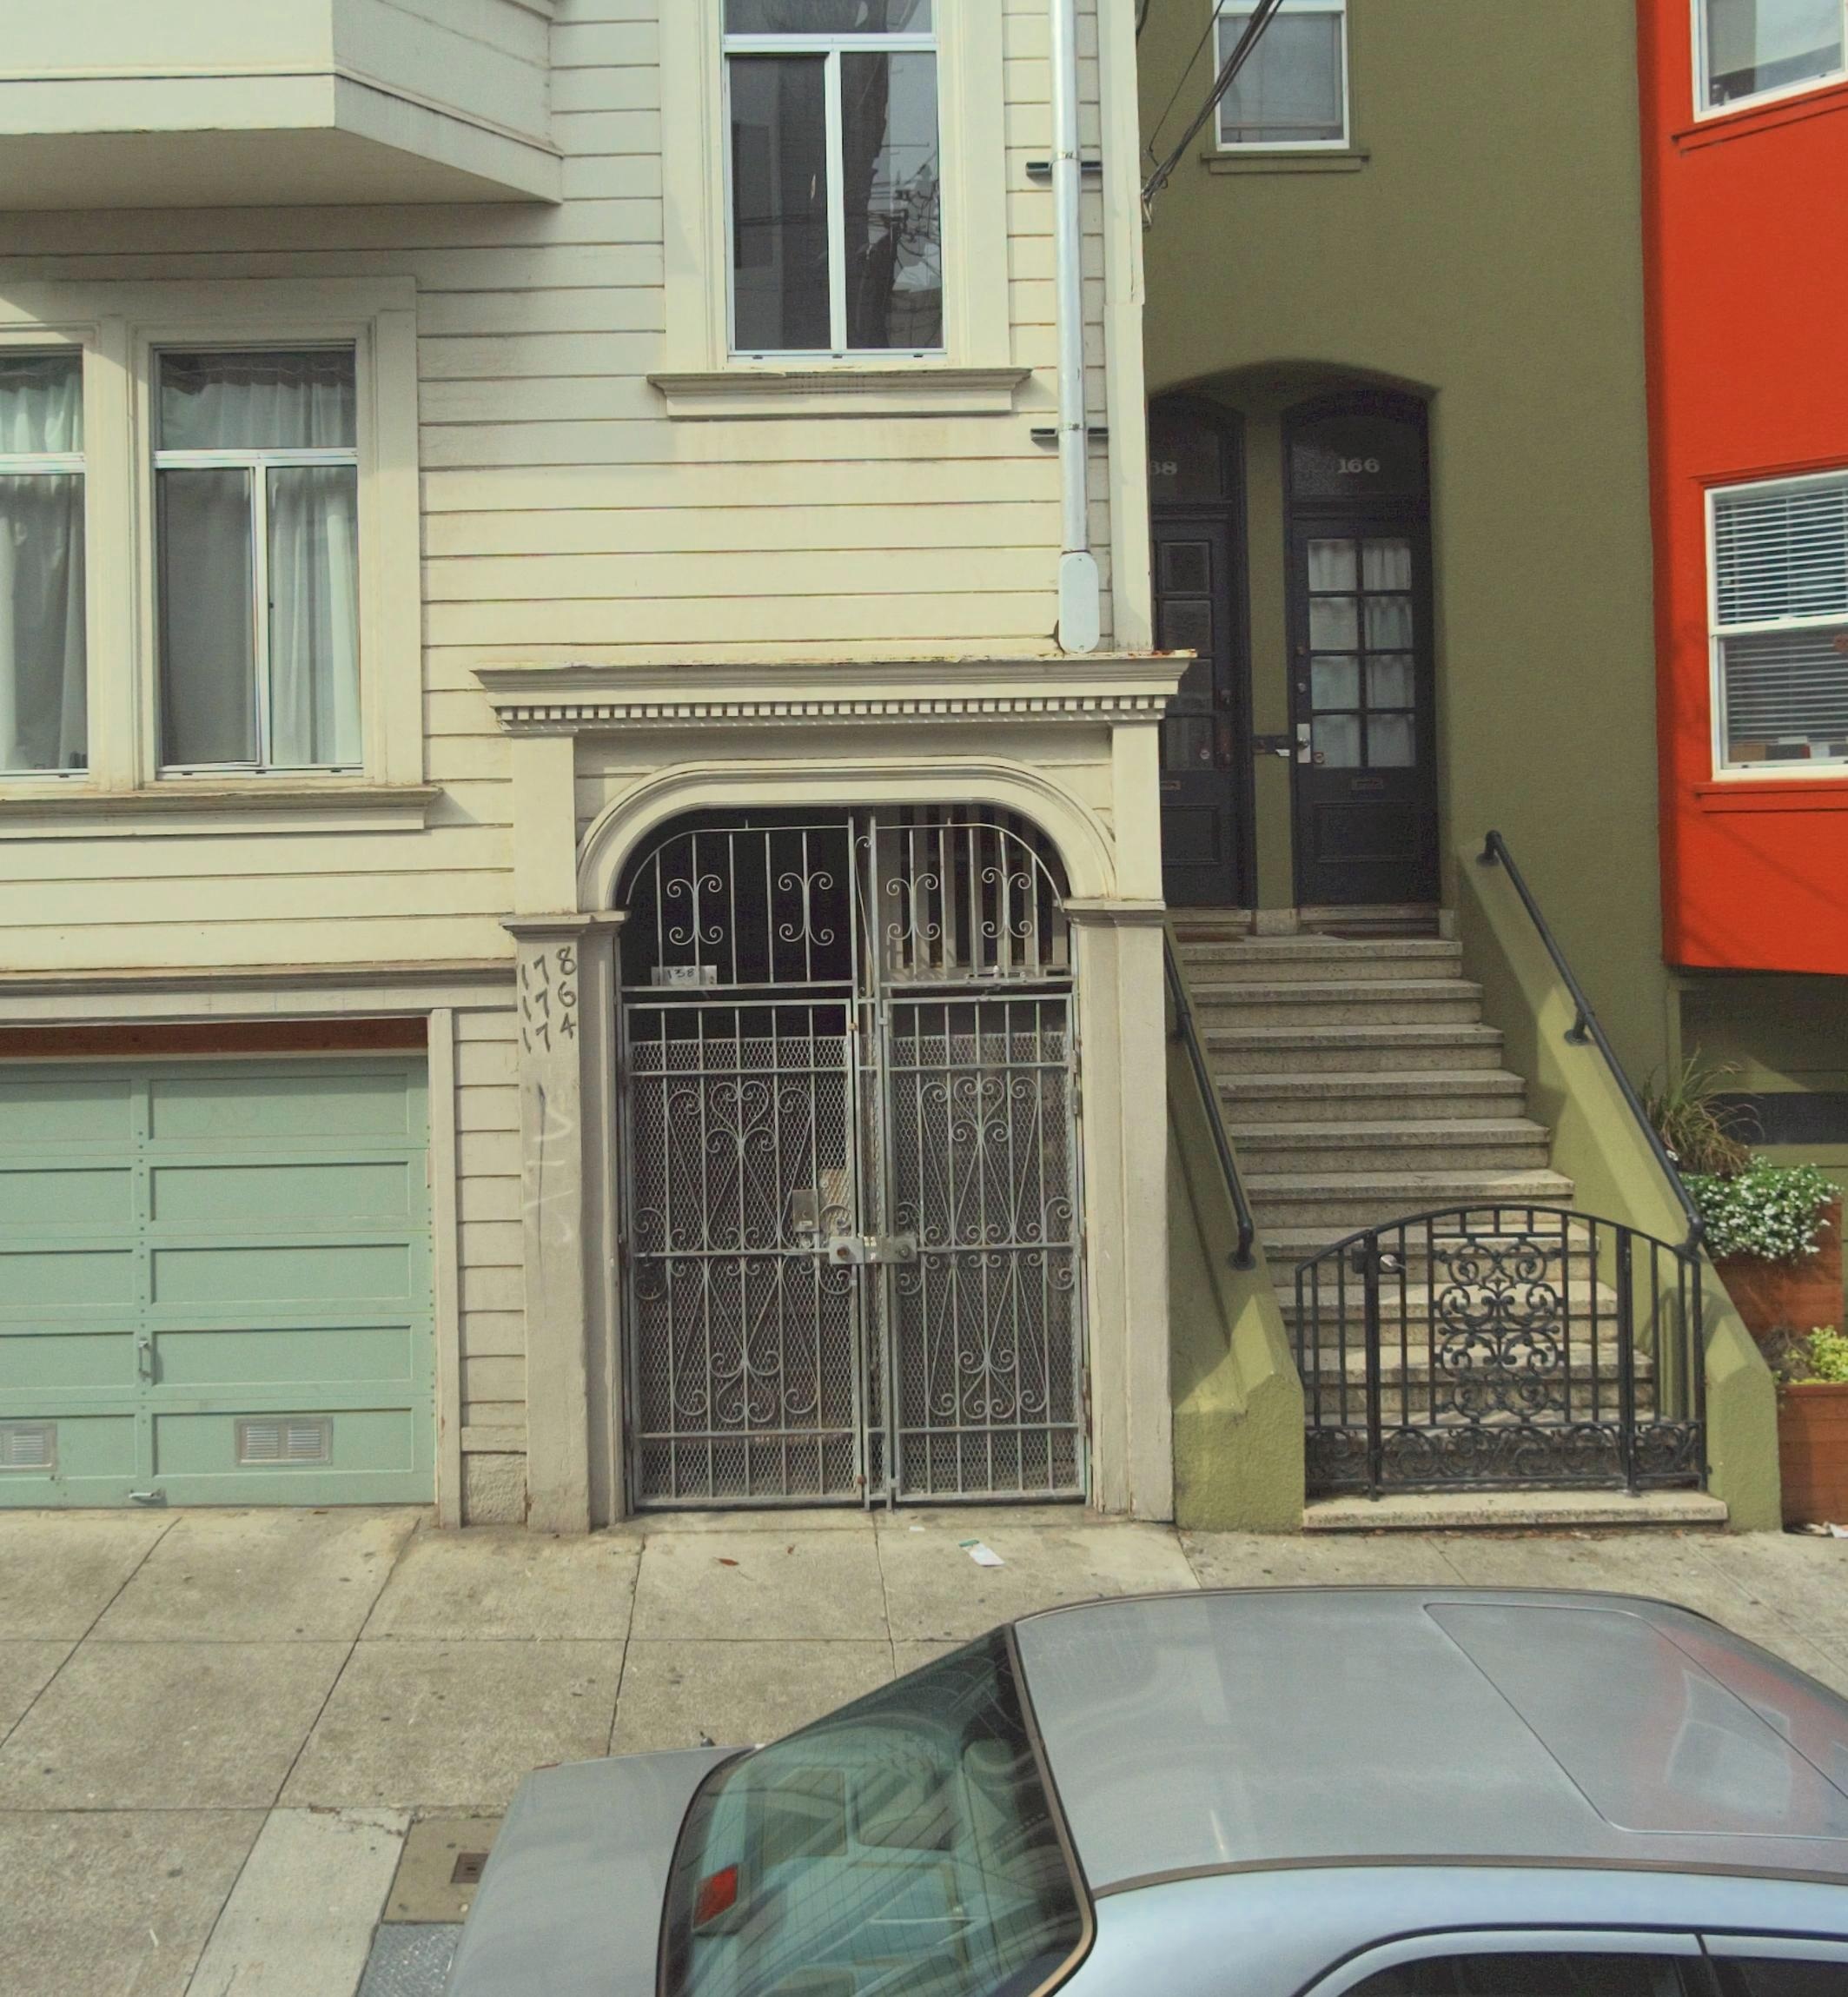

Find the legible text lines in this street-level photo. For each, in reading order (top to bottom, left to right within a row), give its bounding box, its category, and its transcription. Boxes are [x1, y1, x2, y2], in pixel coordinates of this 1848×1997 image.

[1160, 461, 1178, 477] StreetNumber: 8
[1336, 456, 1381, 474] StreetNumber: 166
[517, 943, 581, 994] StreetNumber: 178
[666, 966, 697, 982] StreetNumber: 1*8
[520, 979, 579, 1026] StreetNumber: 176
[520, 1010, 578, 1058] StreetNumber: 174